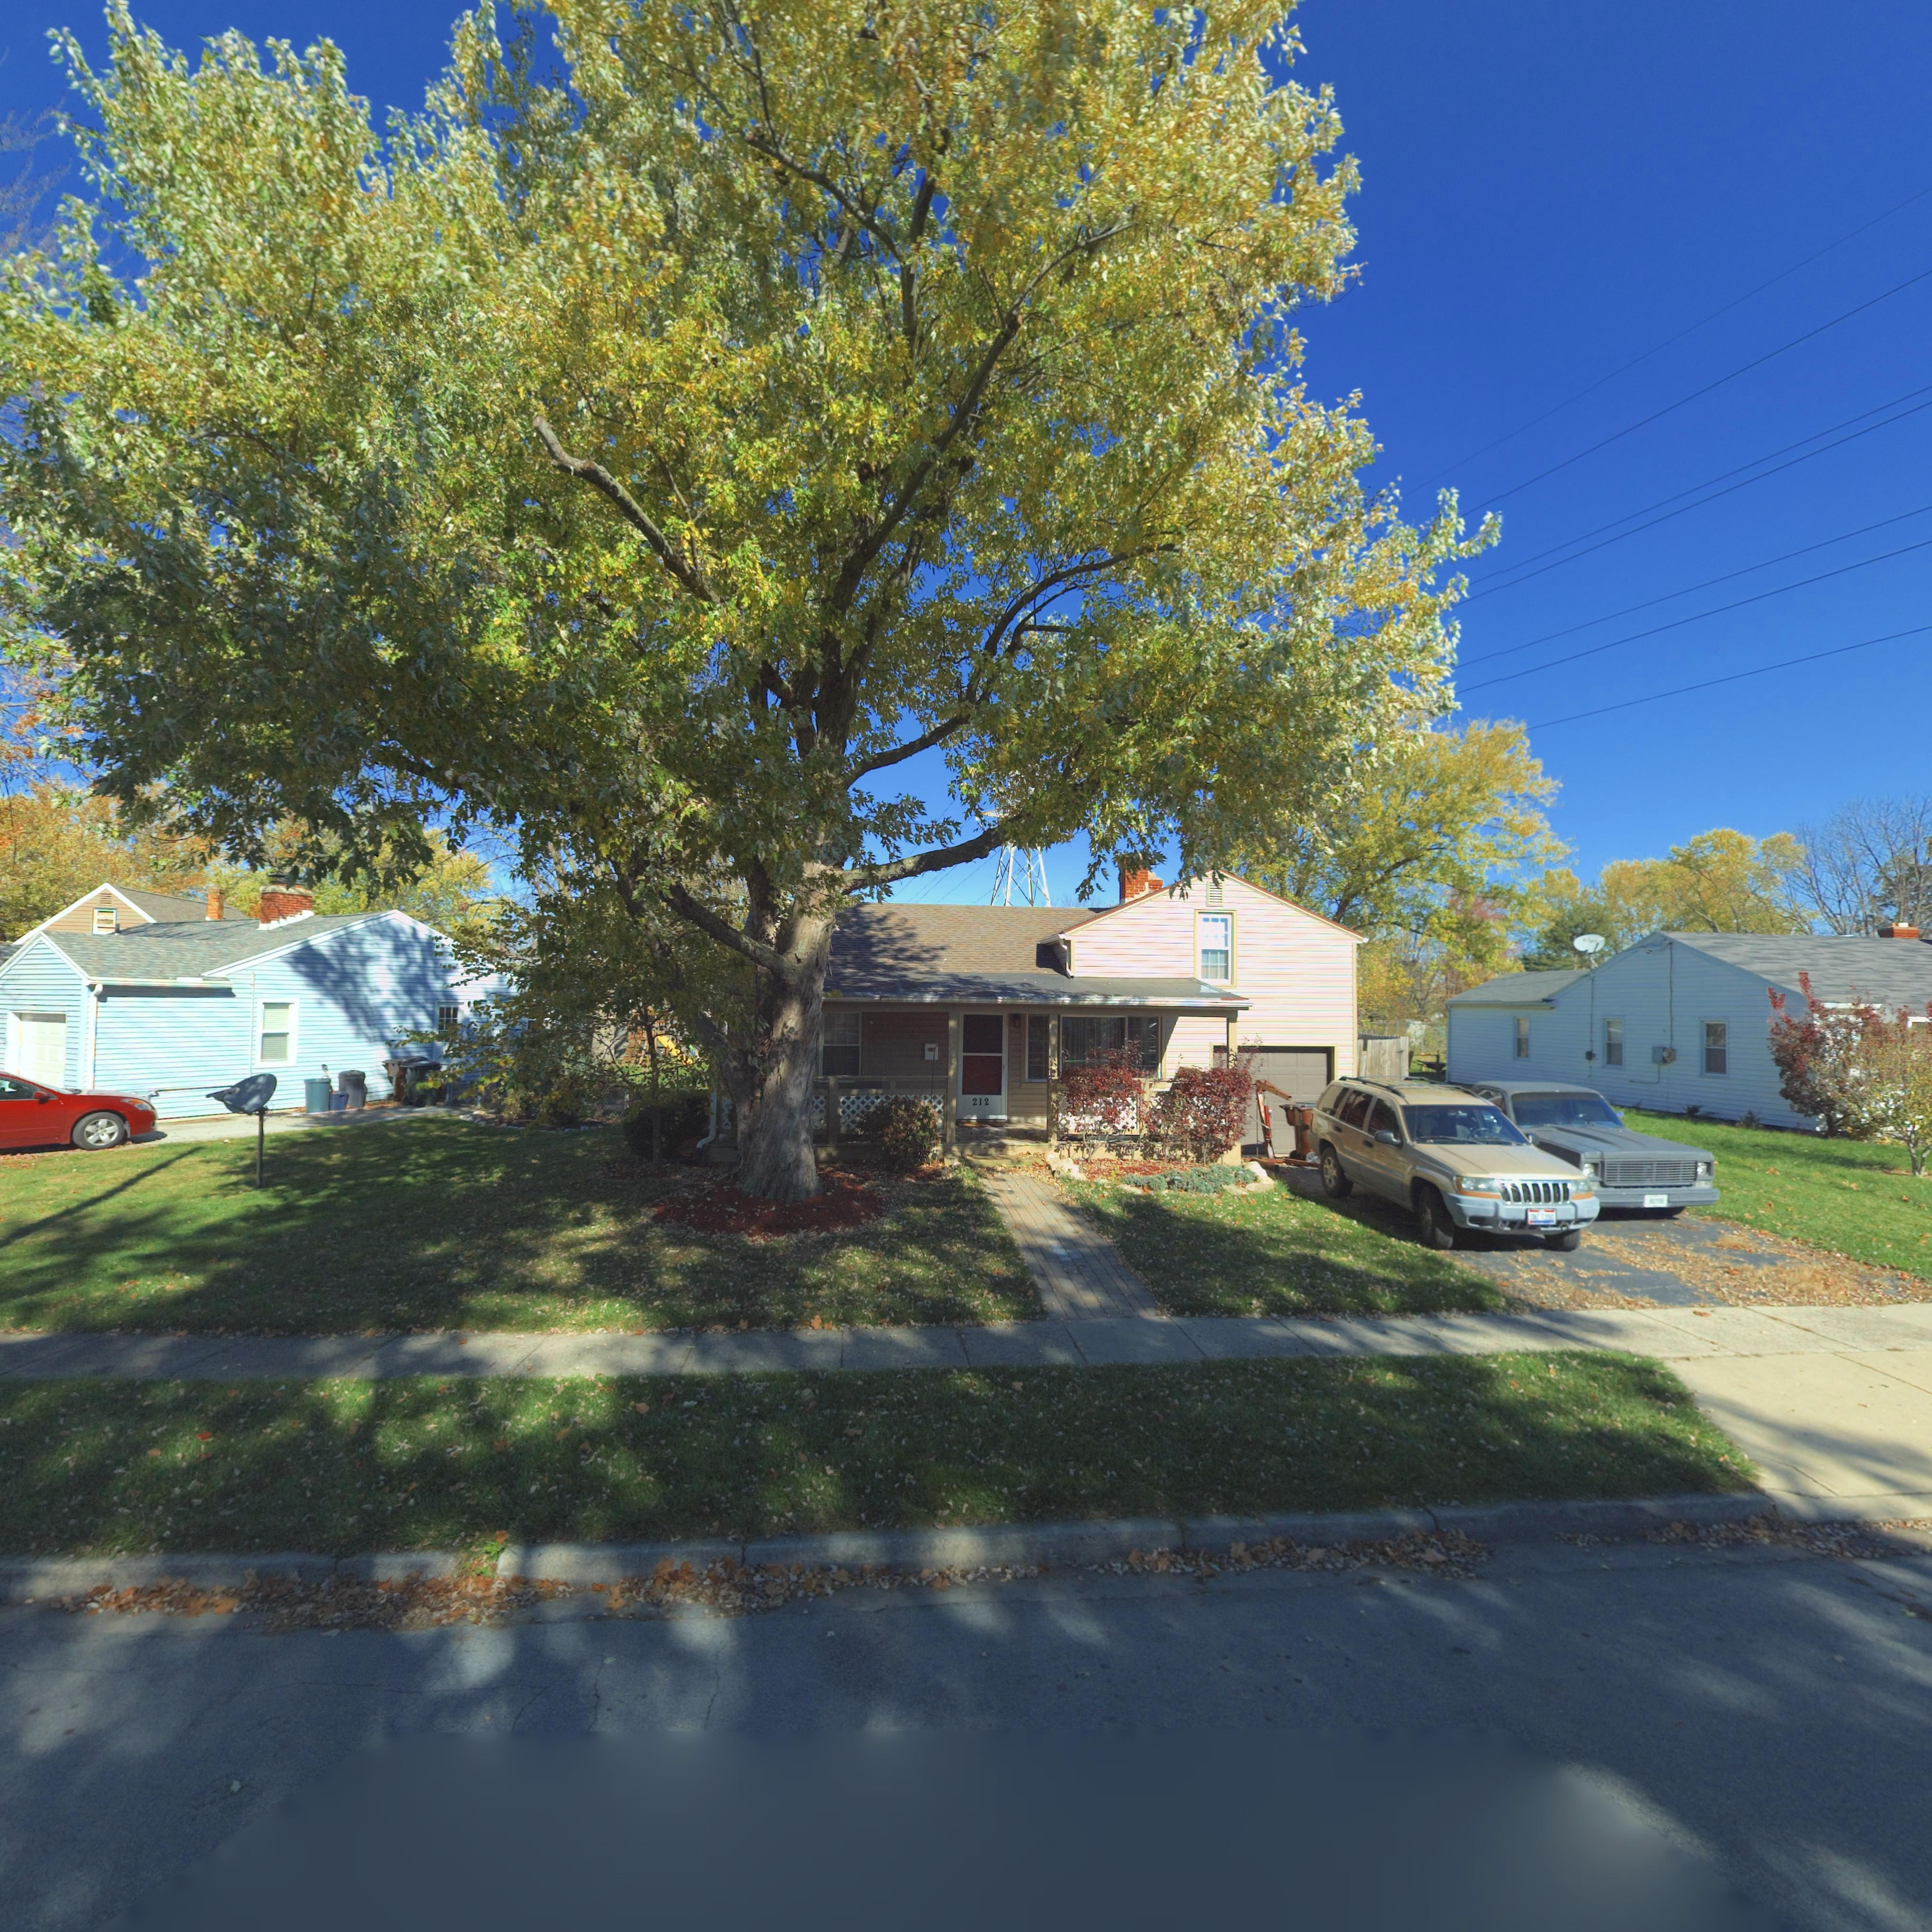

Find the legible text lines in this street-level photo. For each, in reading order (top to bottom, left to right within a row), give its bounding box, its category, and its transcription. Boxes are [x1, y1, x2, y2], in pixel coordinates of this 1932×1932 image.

[972, 1097, 991, 1107] StreetNumber: 212